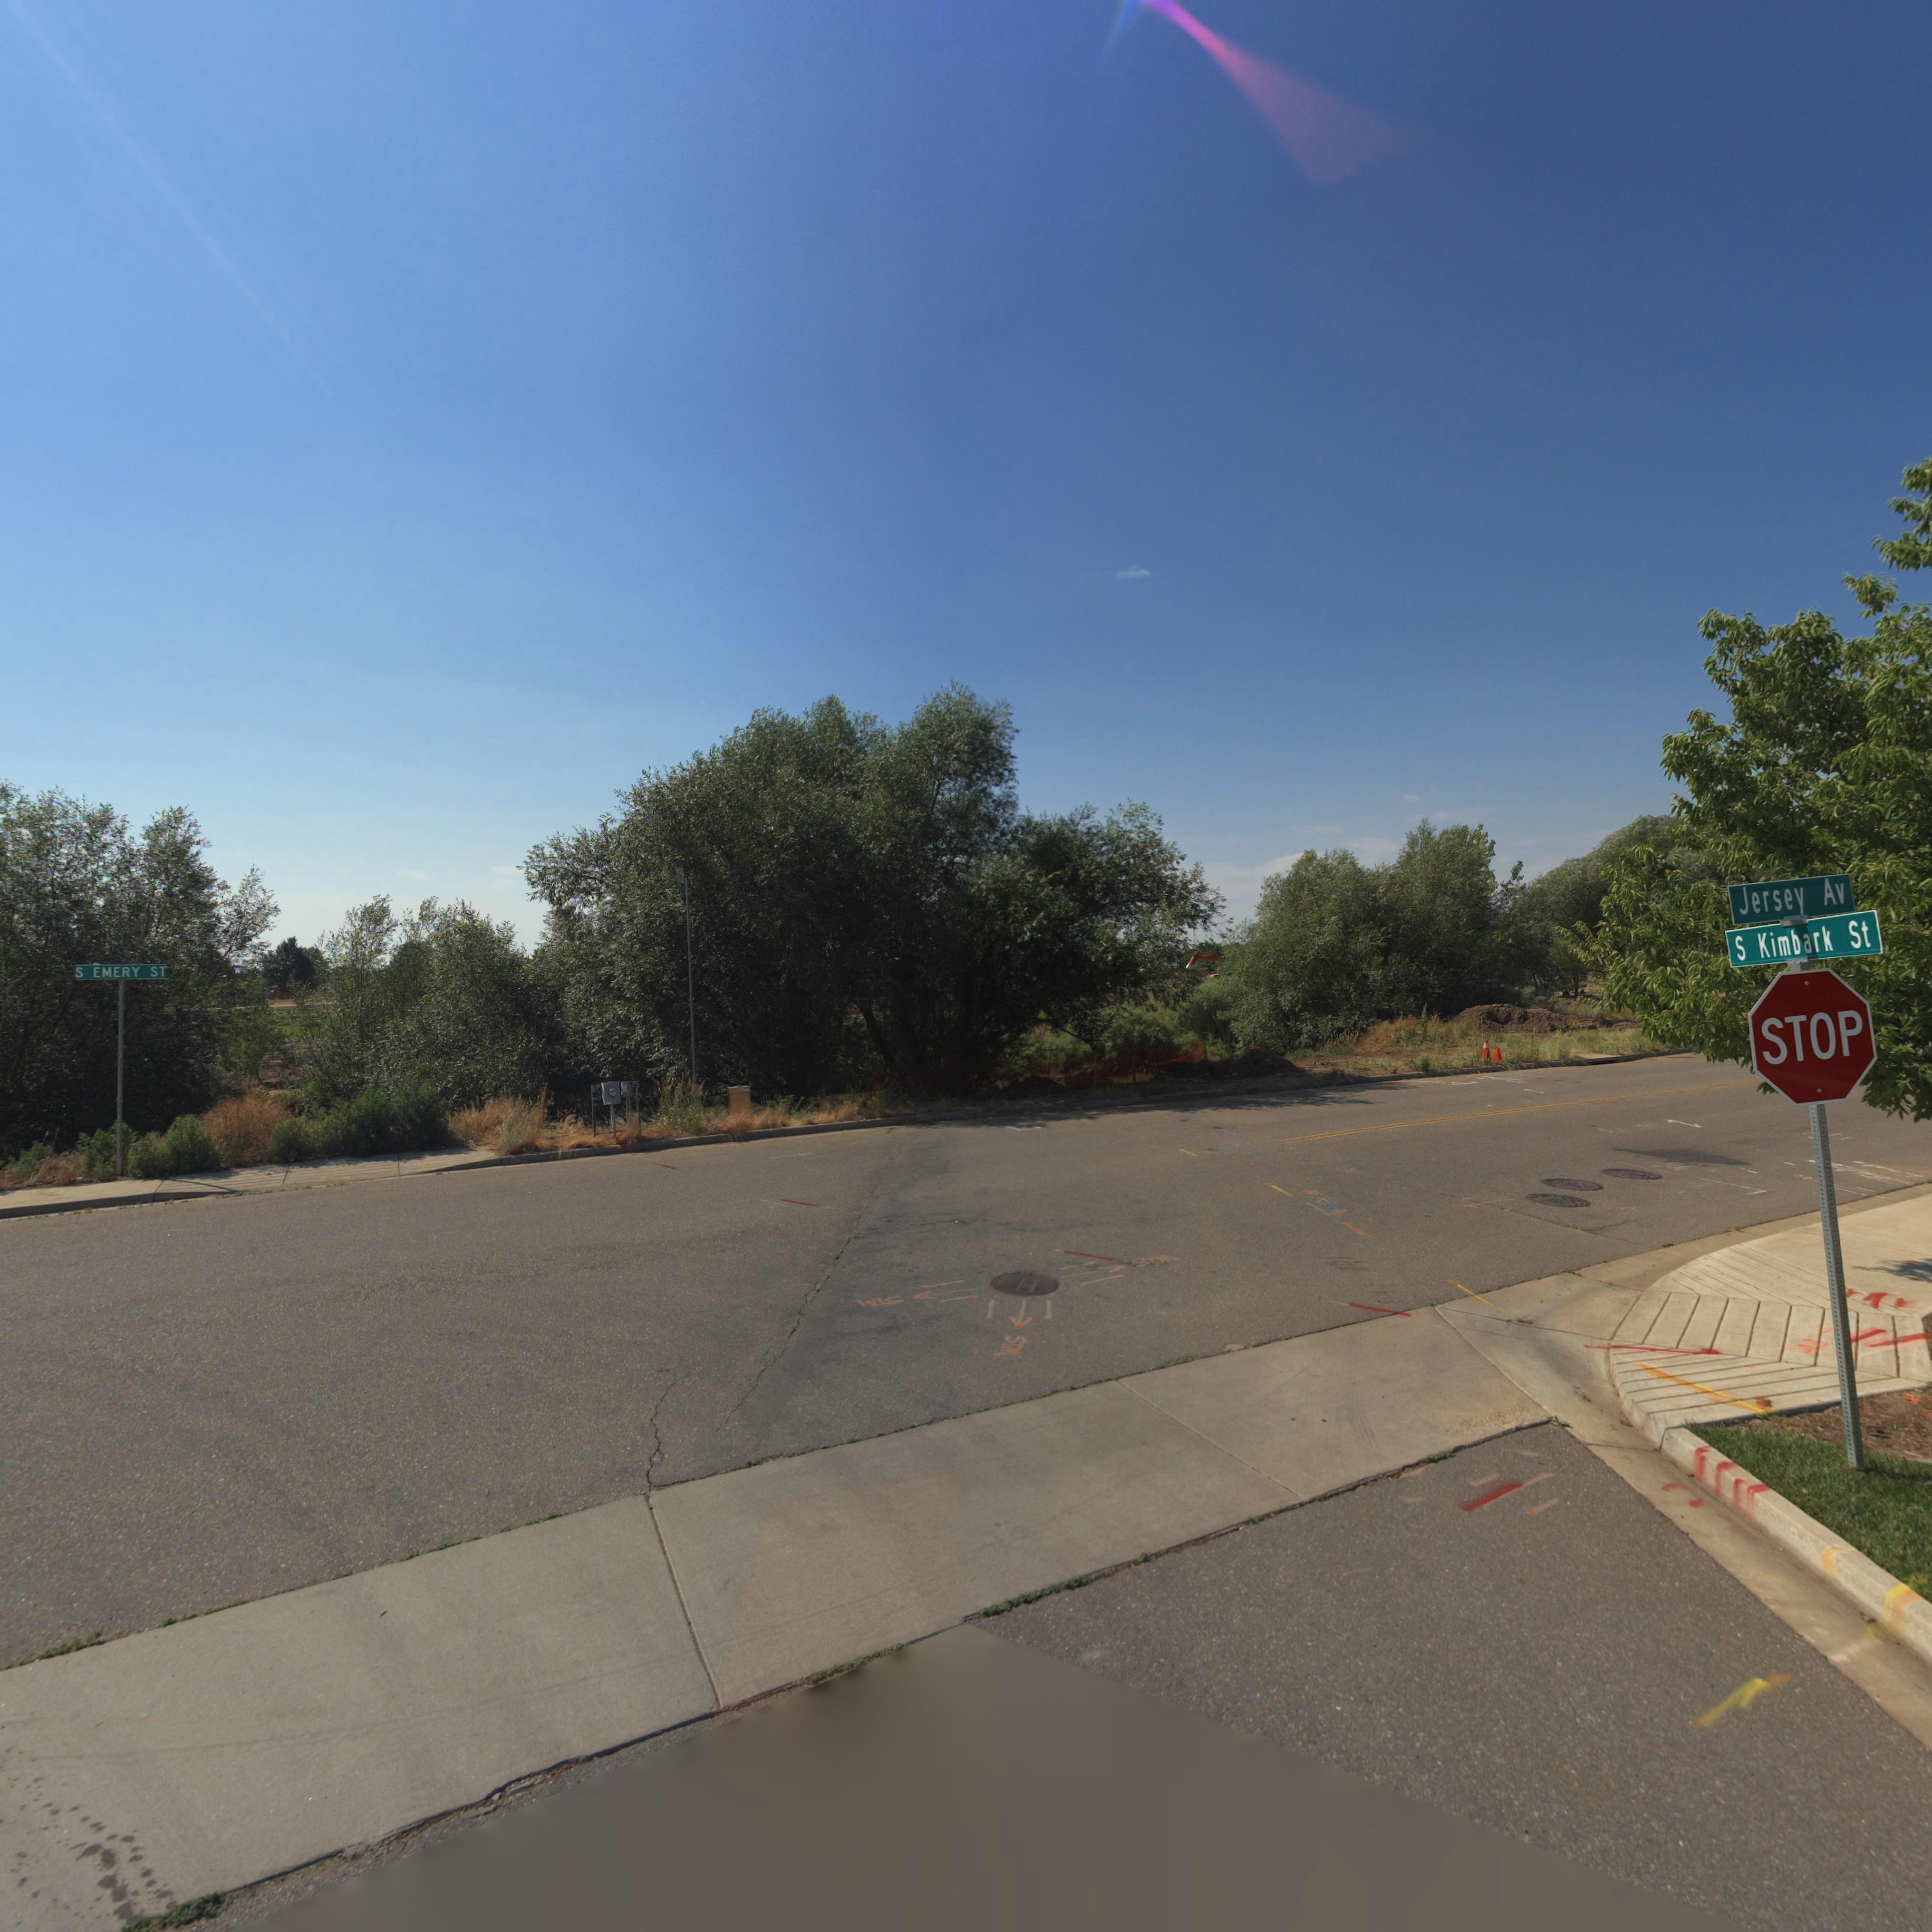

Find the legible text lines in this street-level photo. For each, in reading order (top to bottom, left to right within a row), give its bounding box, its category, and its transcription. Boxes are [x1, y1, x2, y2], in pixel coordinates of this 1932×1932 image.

[1738, 877, 1844, 917] StreetName: Jersey Av
[1734, 919, 1872, 961] StreetName: S Kimbark St
[75, 966, 167, 978] StreetName: S EMERY ST